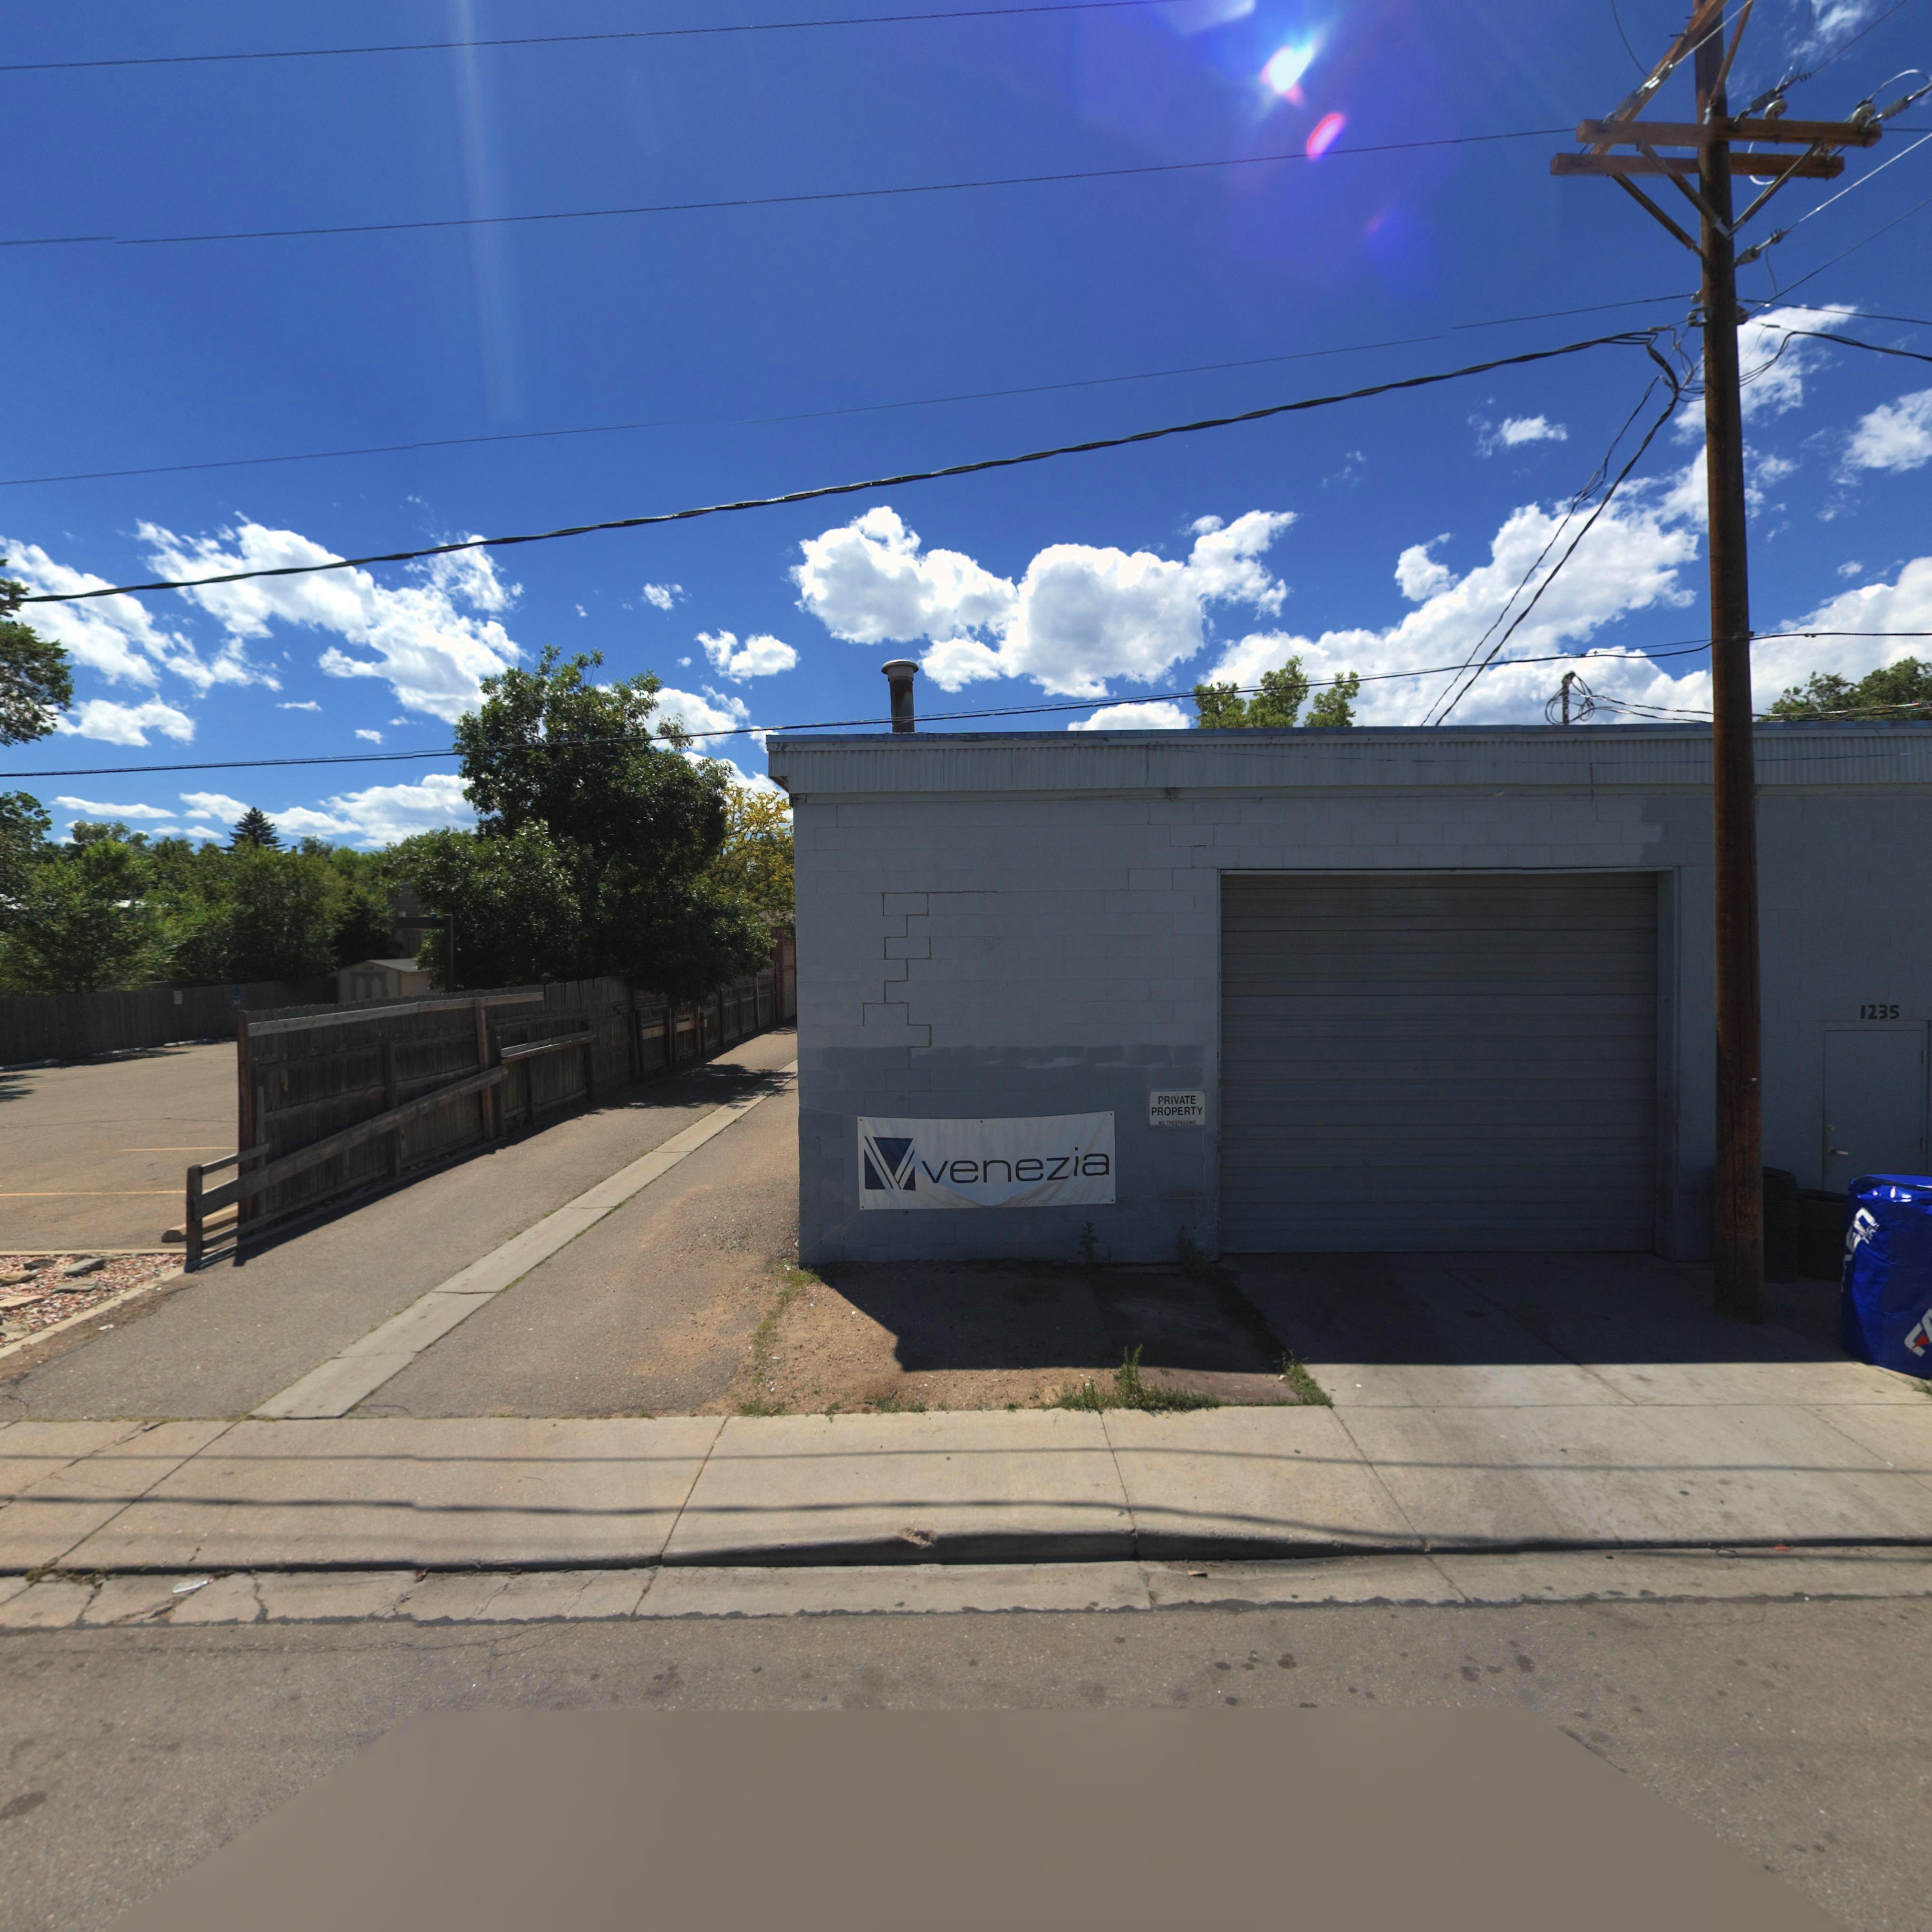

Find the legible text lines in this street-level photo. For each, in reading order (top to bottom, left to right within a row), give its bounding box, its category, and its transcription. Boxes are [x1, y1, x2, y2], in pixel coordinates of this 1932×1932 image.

[1860, 1003, 1901, 1020] StreetNumber: 1235